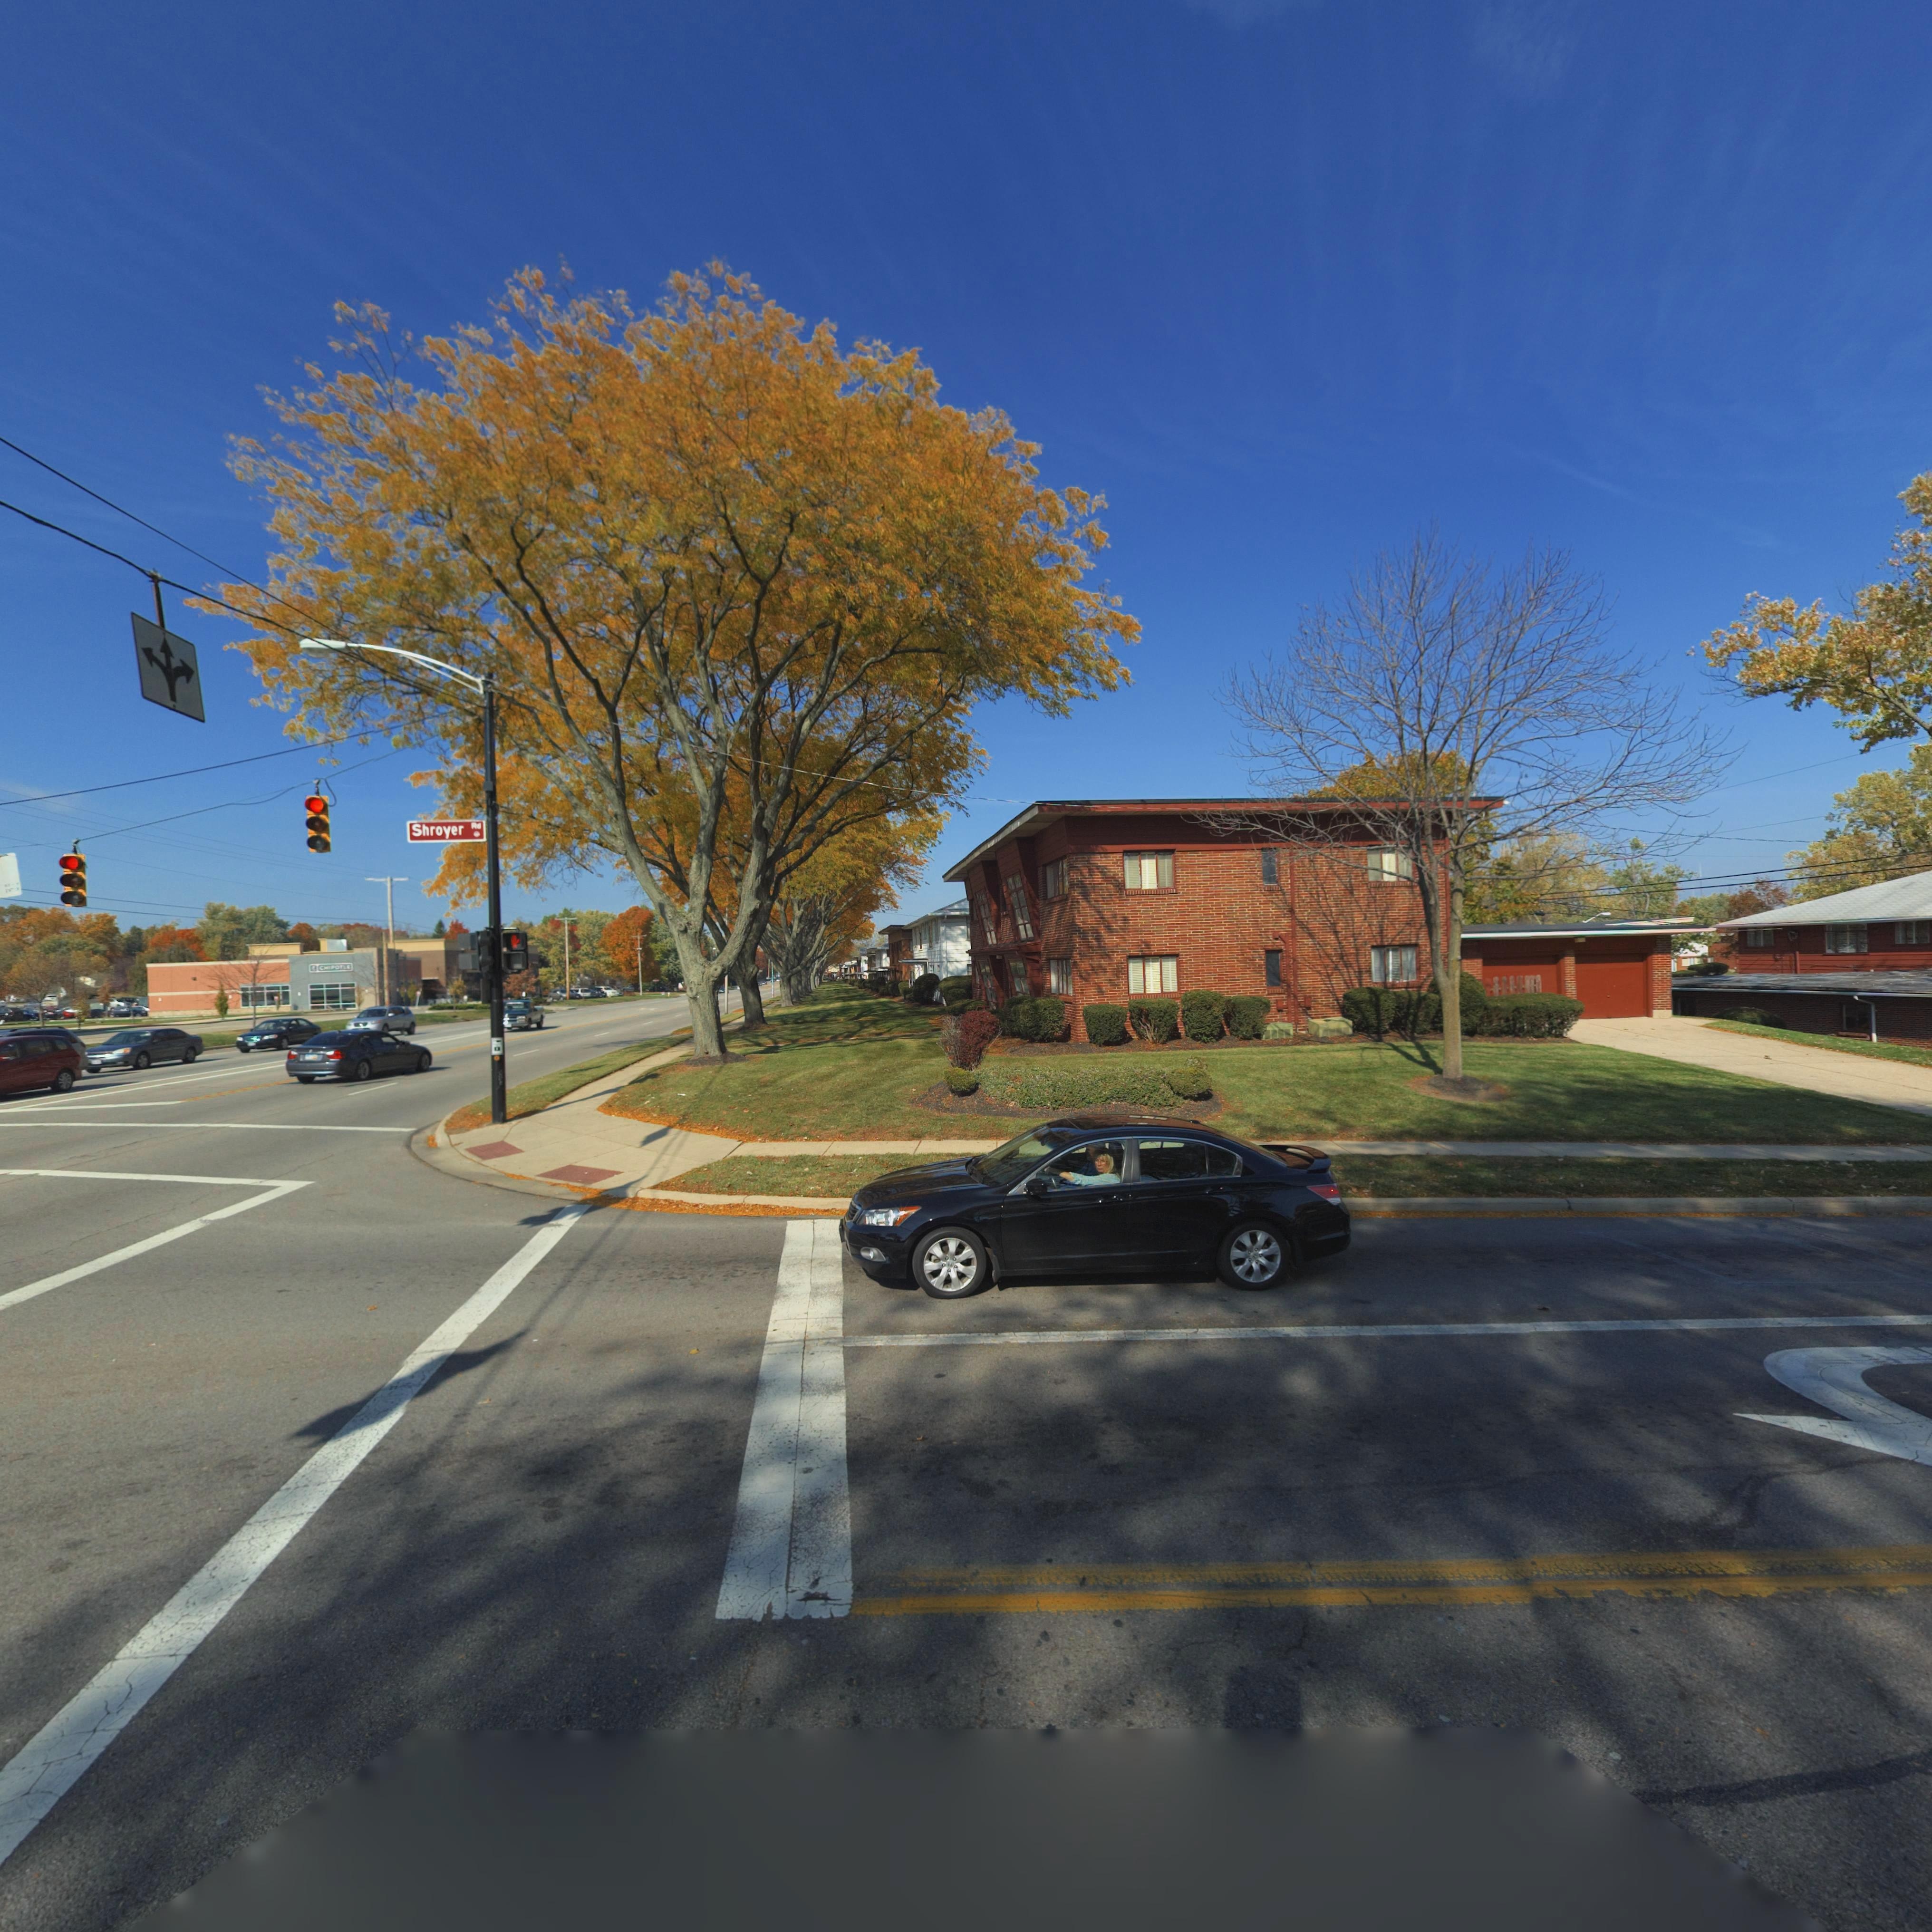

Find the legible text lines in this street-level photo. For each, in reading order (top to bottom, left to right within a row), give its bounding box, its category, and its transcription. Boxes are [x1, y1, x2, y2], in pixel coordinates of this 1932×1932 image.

[411, 821, 483, 840] StreetName: Shroyer Rd
[318, 964, 352, 971] BusinessName: CHIPOT**